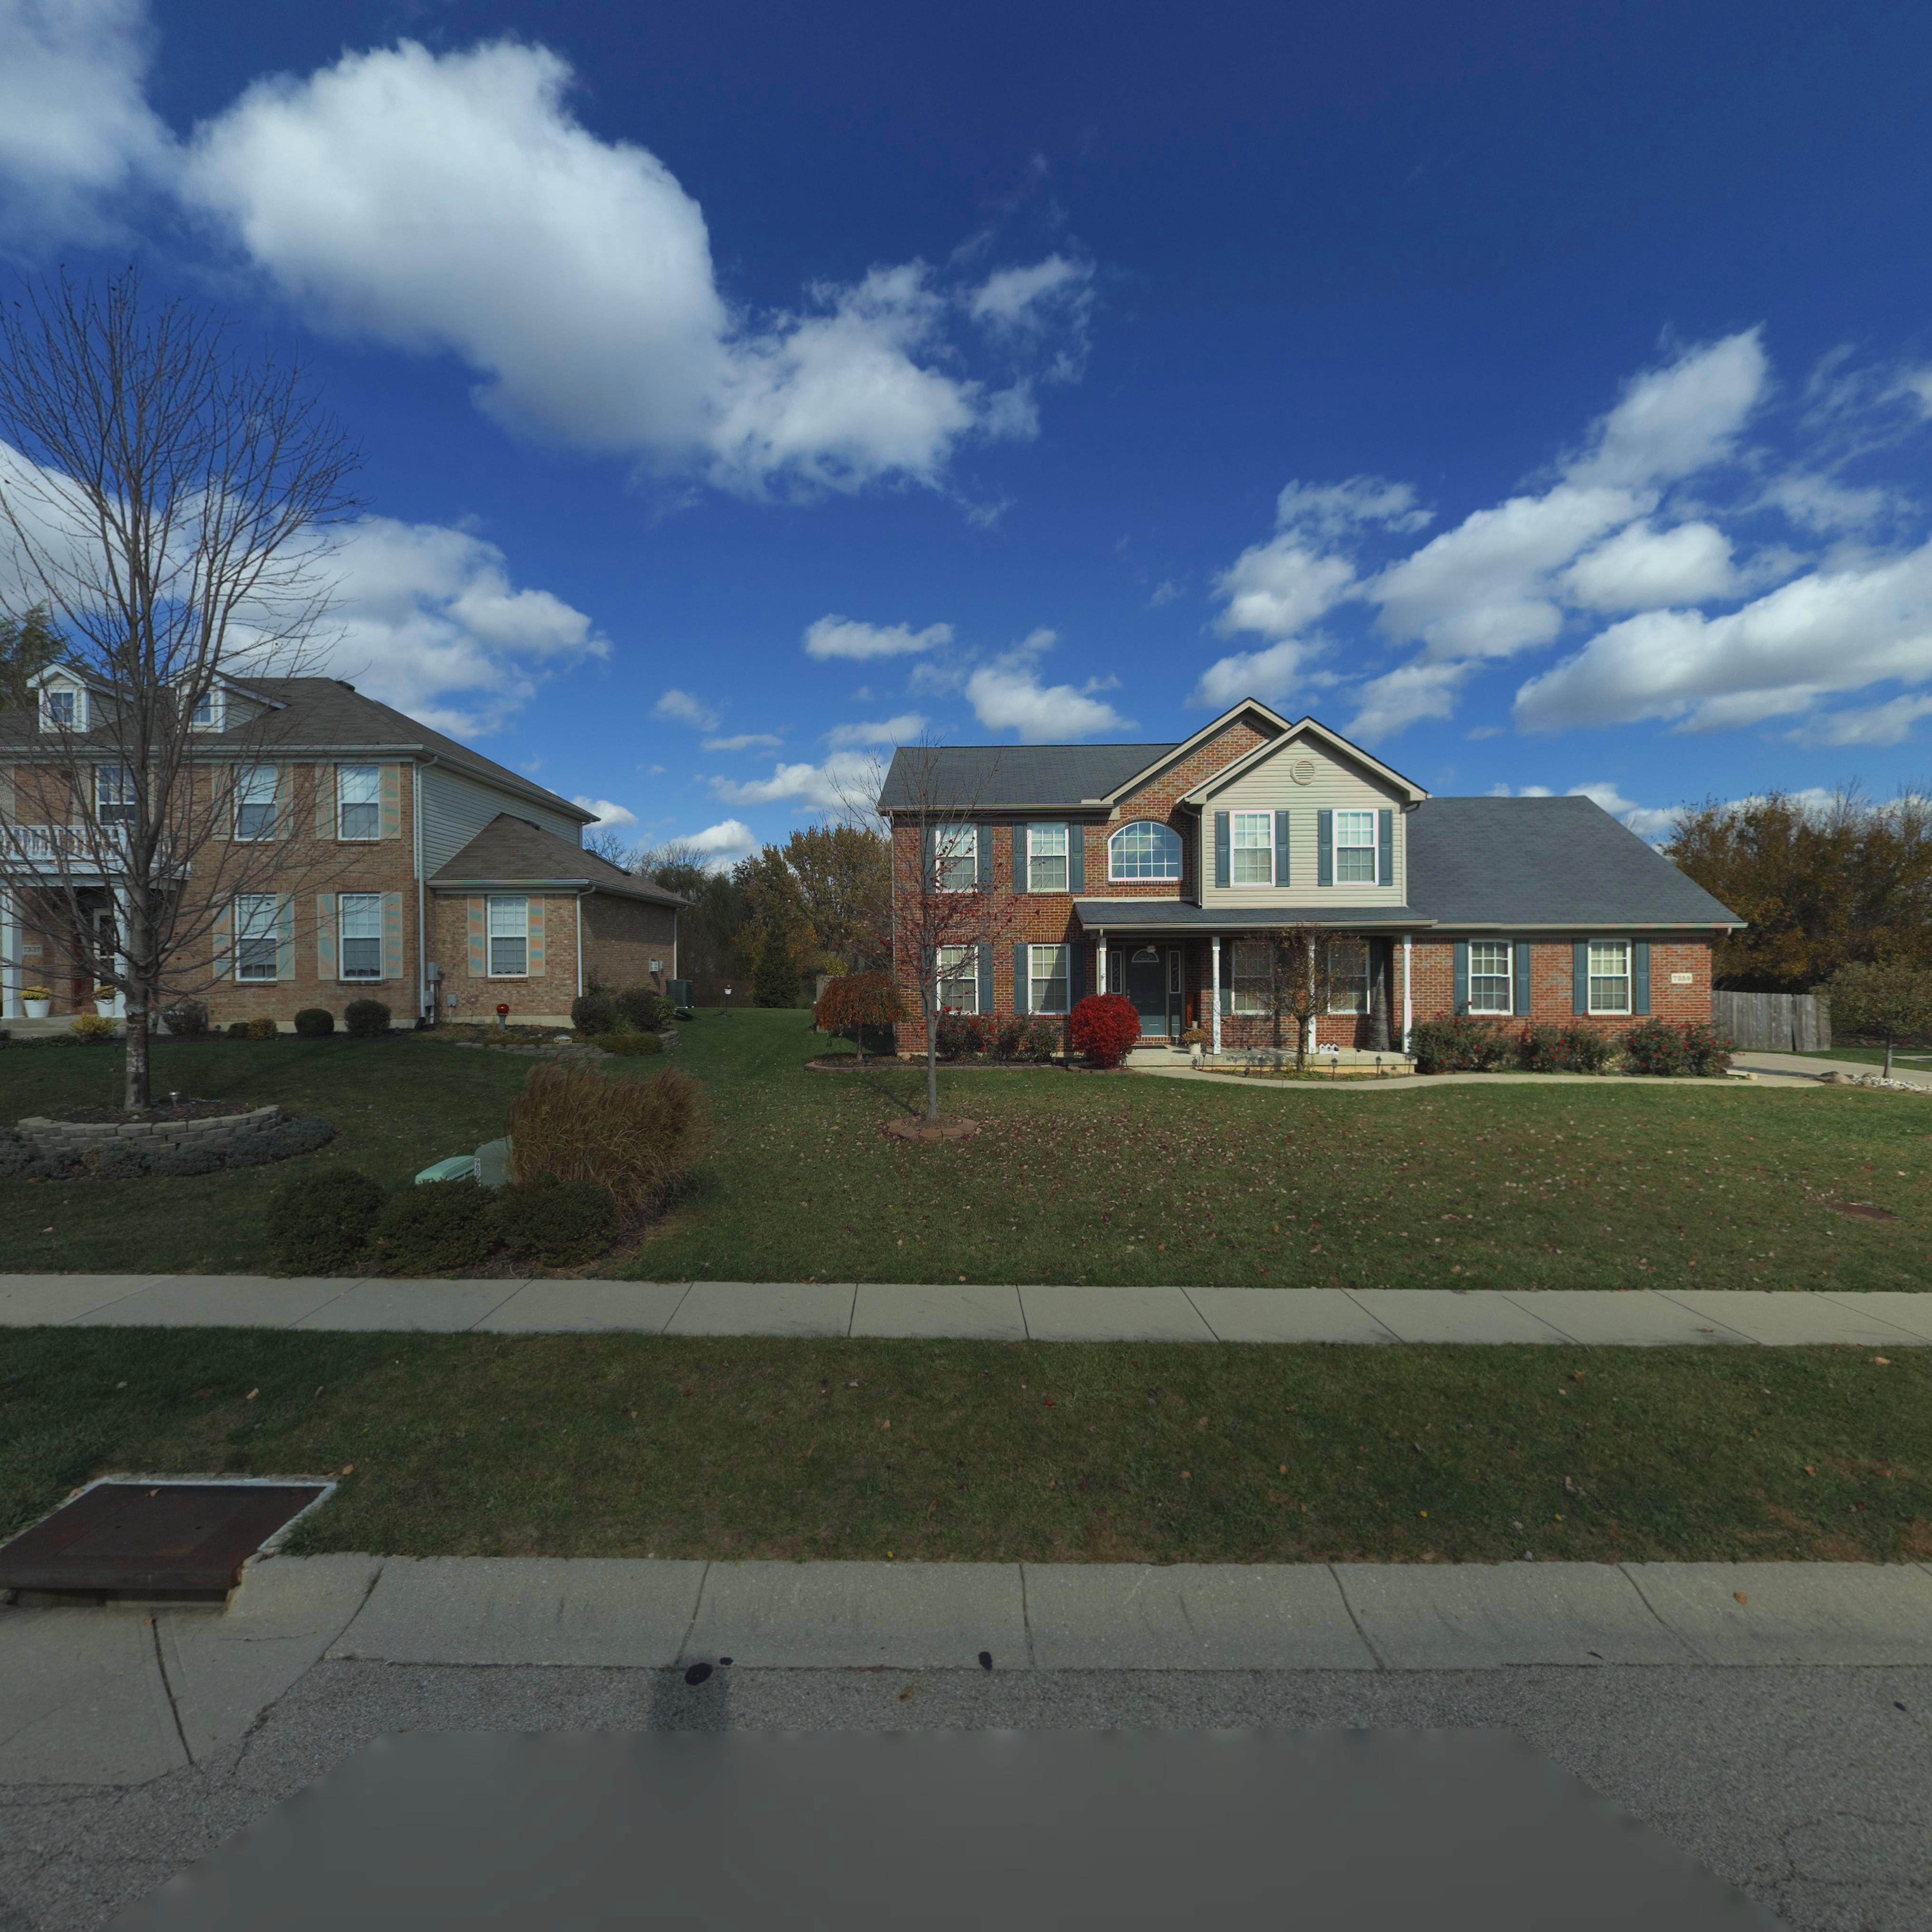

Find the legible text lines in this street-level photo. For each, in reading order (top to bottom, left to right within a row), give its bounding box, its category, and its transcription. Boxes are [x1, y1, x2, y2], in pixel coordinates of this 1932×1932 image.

[22, 947, 41, 953] StreetNumber: 7337
[1672, 975, 1691, 982] StreetNumber: 7369